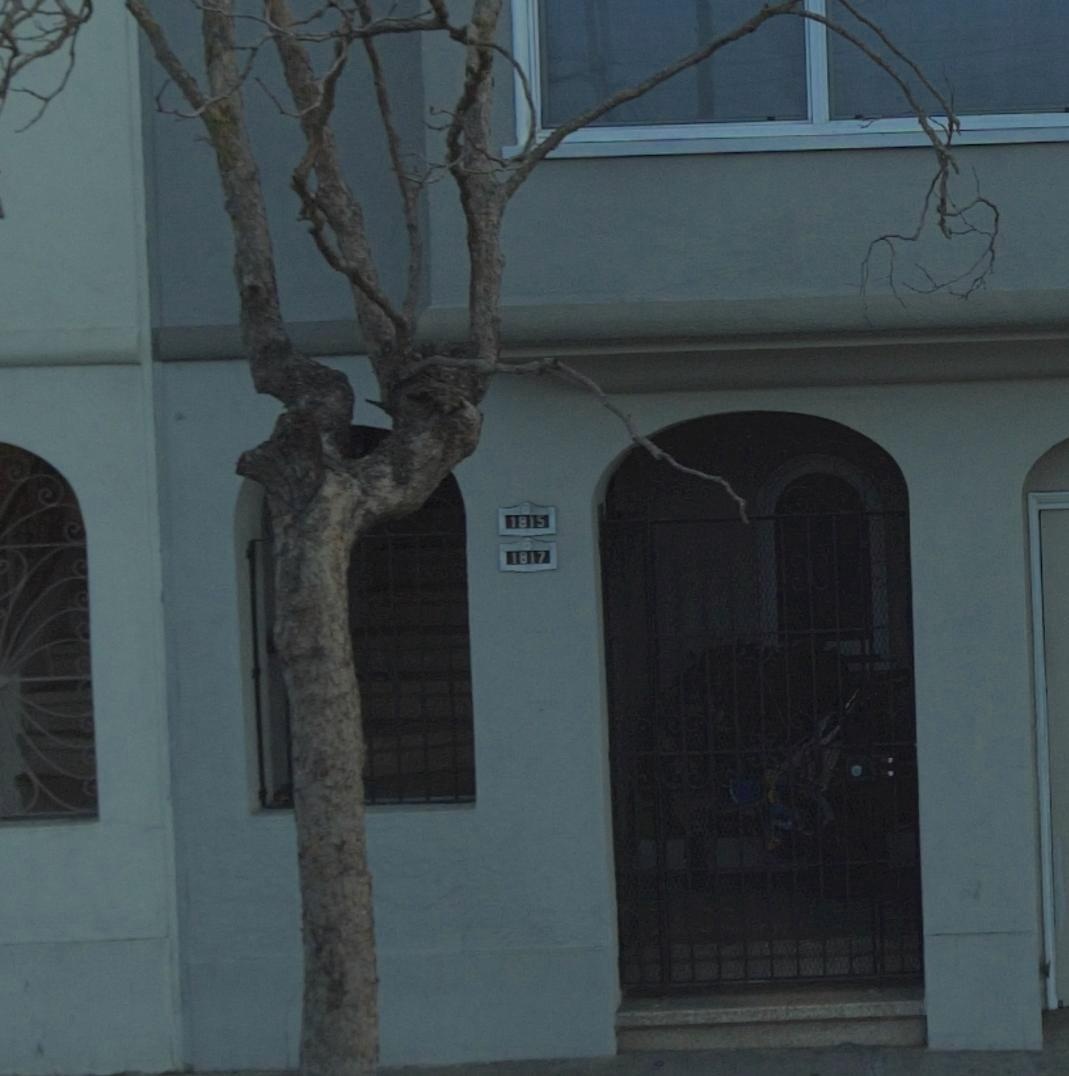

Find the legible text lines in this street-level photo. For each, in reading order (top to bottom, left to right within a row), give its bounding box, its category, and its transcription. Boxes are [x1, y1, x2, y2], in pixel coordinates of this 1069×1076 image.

[507, 512, 547, 530] StreetNumber: 1815
[510, 548, 549, 566] StreetNumber: 1817